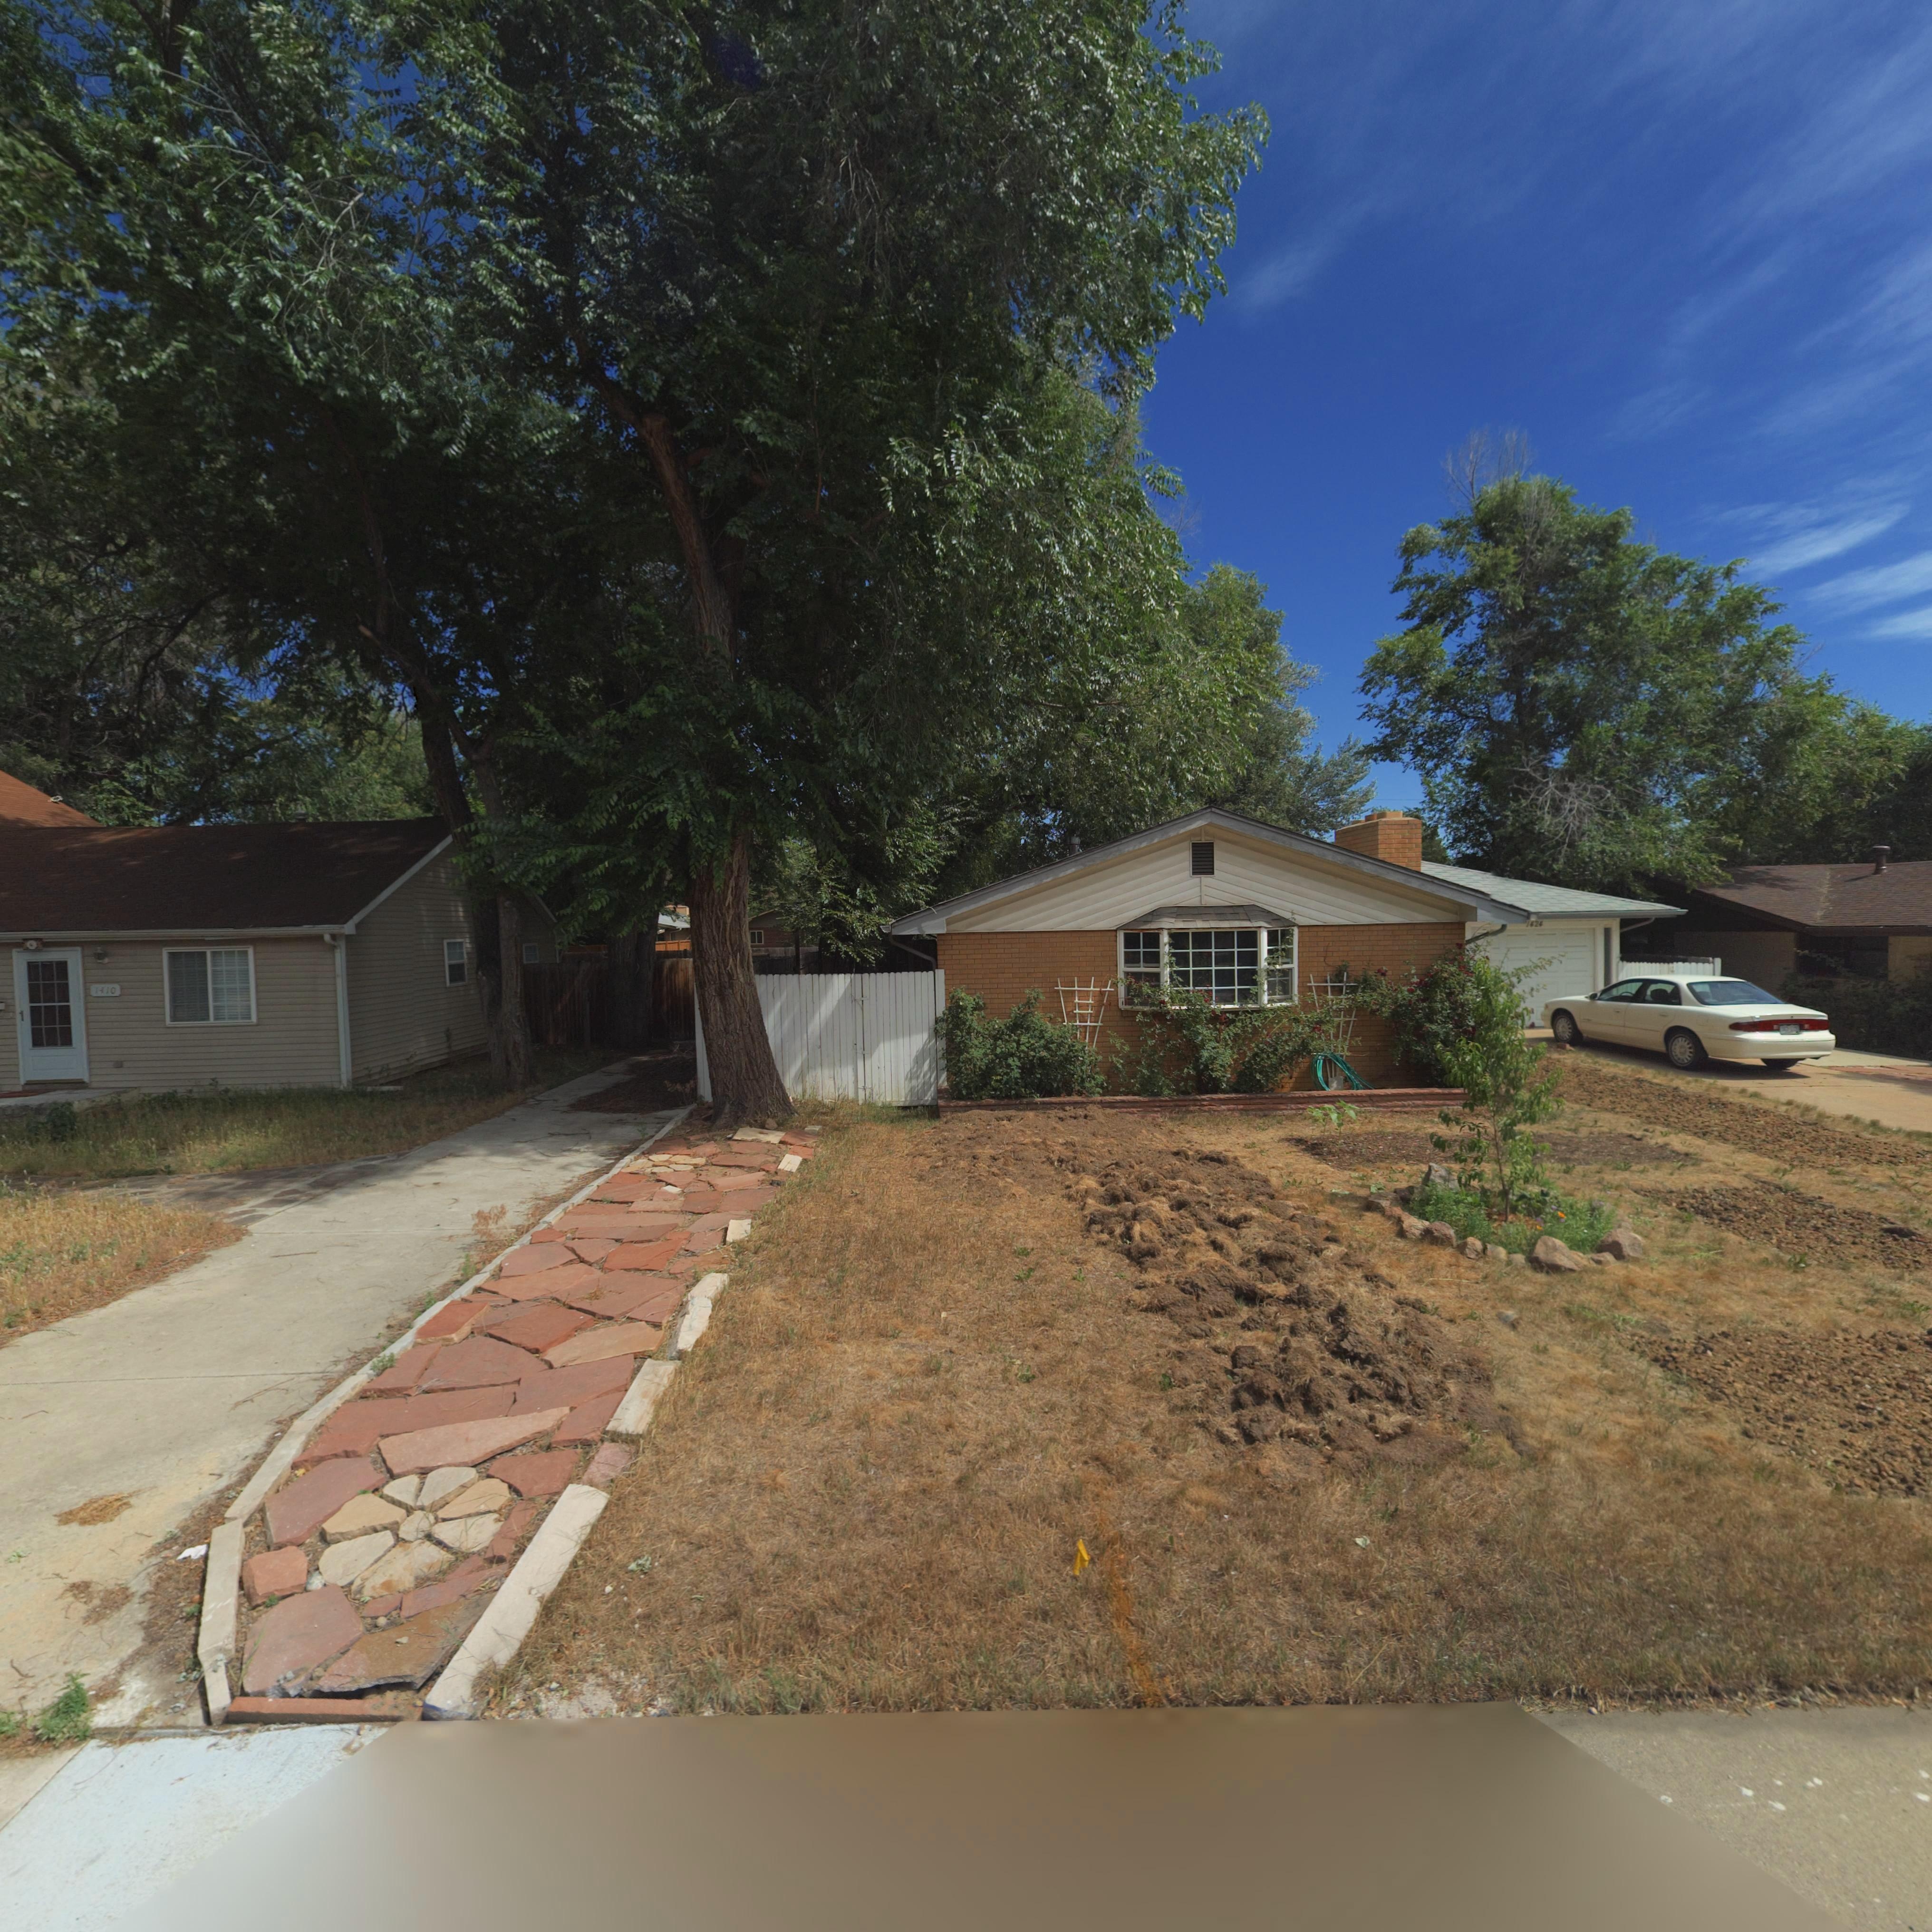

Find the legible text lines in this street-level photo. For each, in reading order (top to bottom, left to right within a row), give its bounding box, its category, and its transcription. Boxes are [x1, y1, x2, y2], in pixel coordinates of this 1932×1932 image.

[1525, 919, 1544, 927] StreetNumber: 1424
[94, 985, 116, 995] StreetNumber: 1410